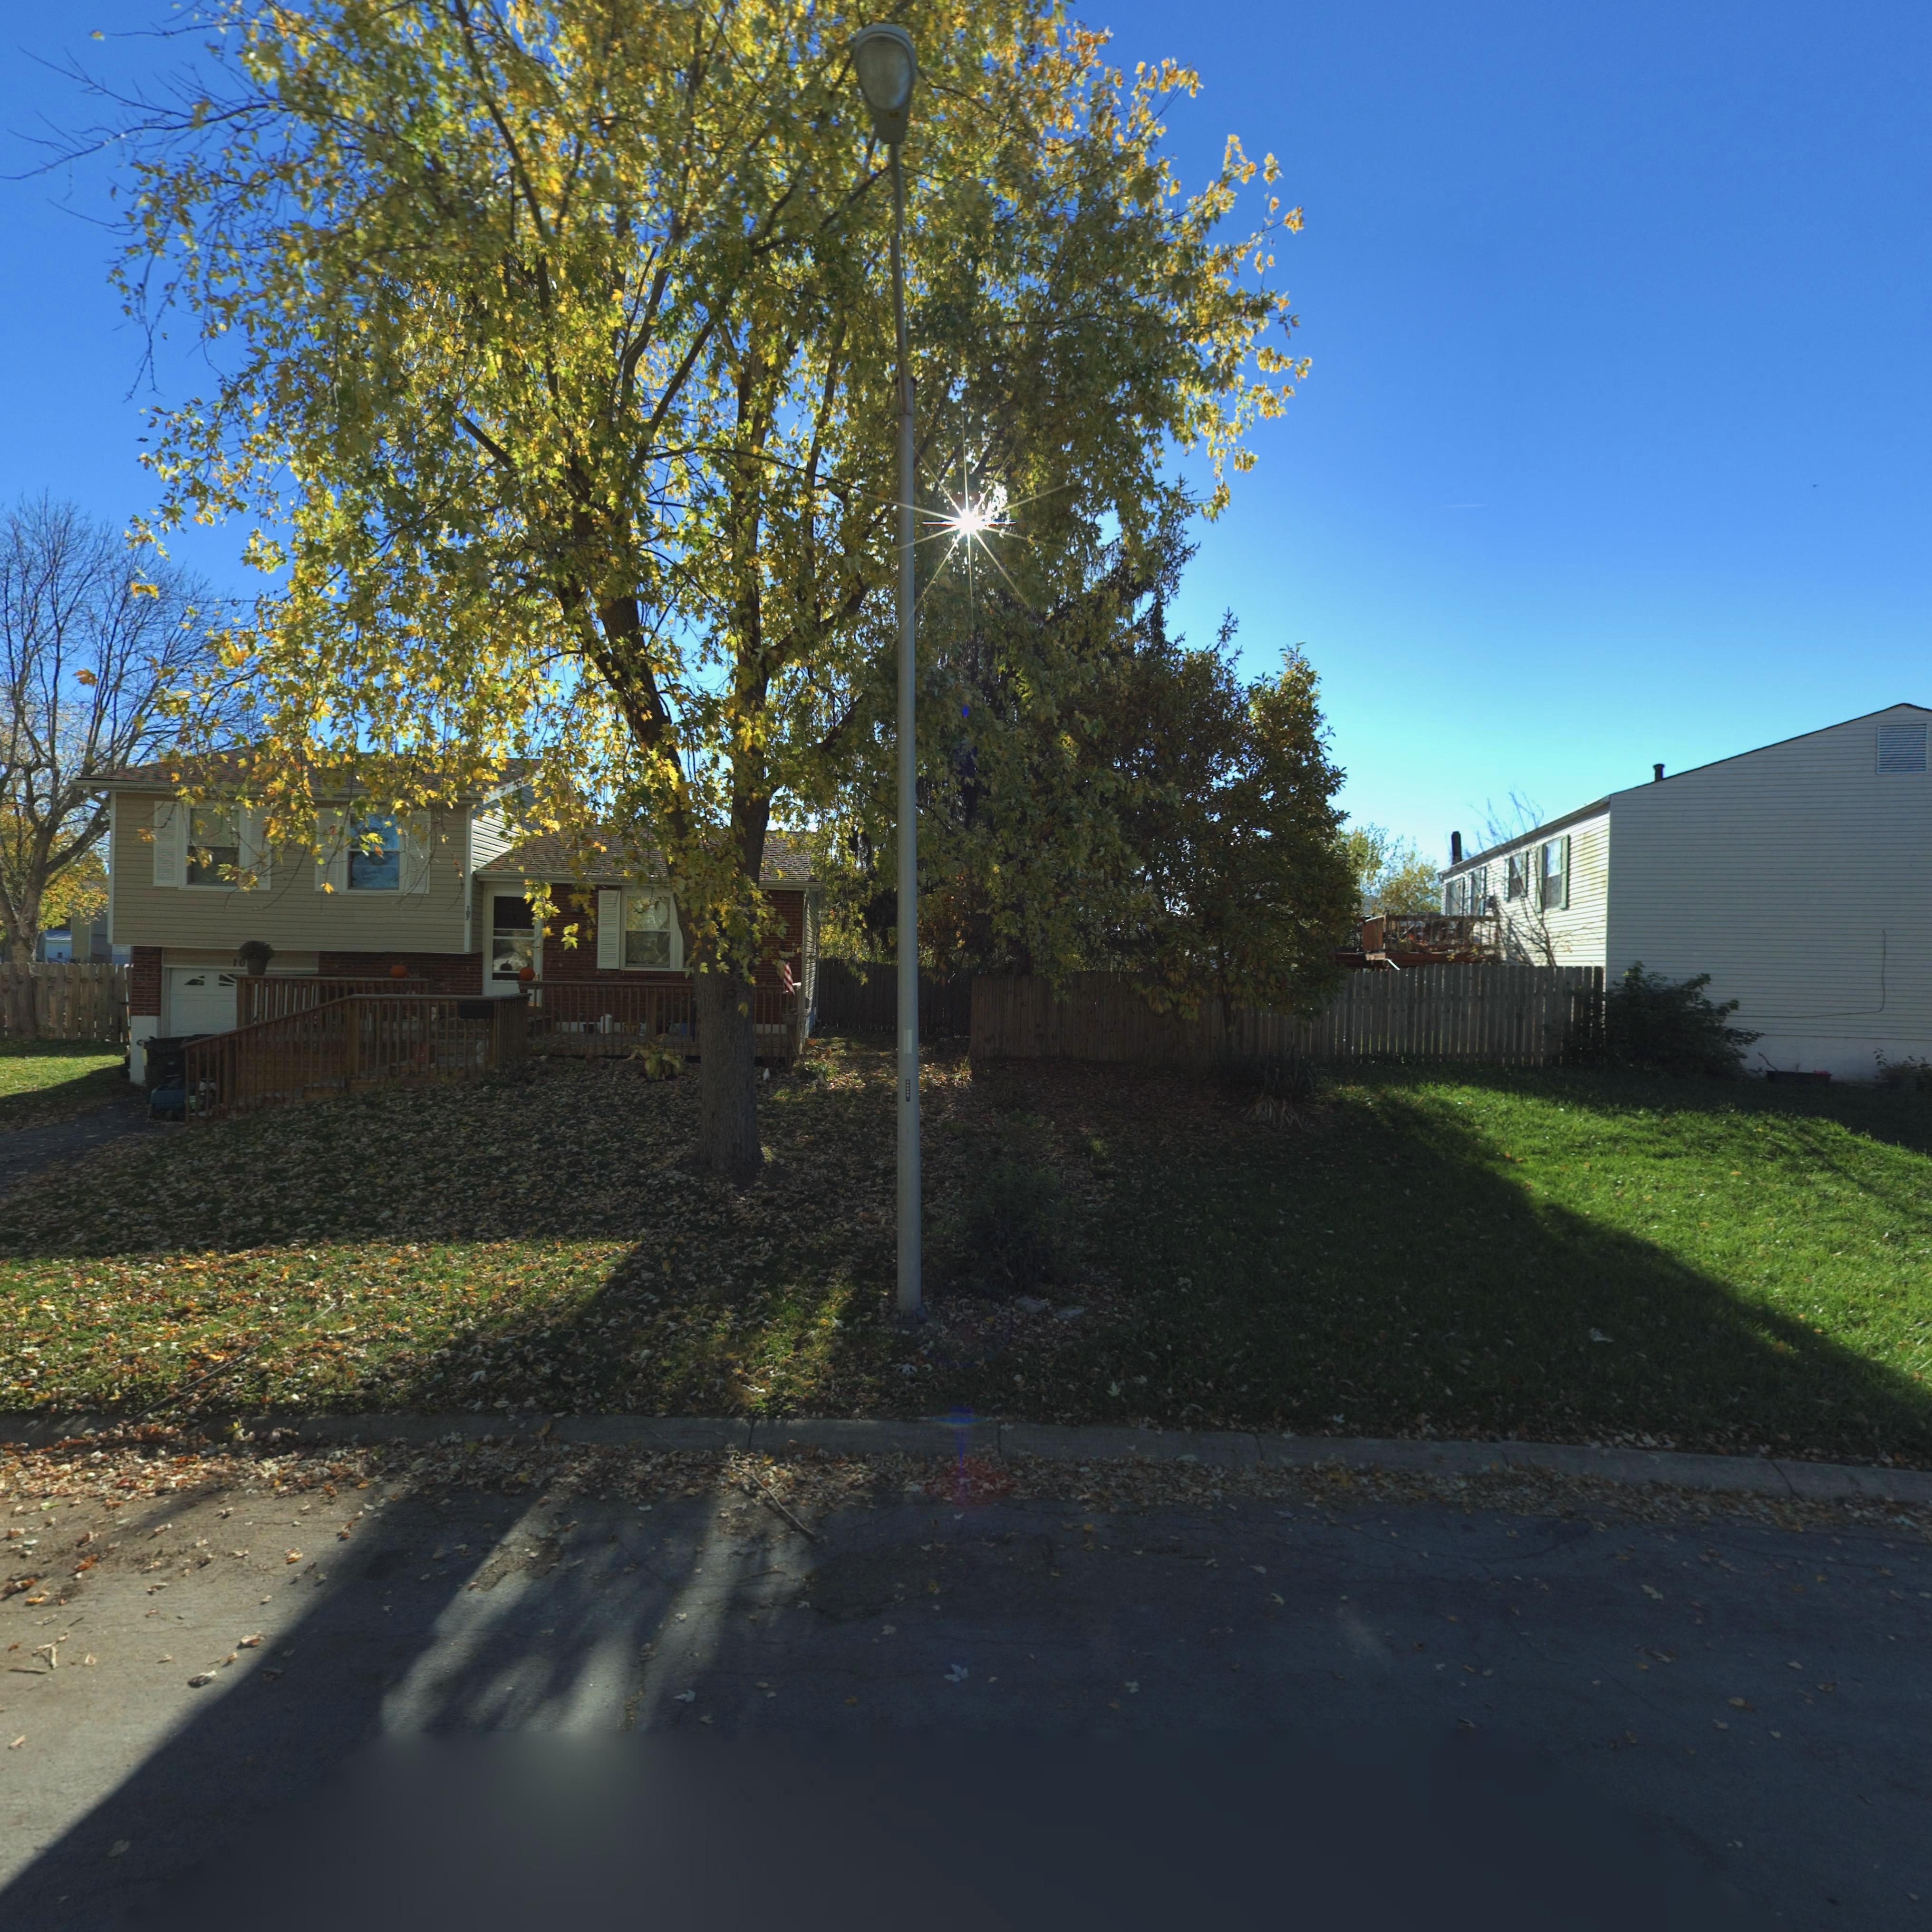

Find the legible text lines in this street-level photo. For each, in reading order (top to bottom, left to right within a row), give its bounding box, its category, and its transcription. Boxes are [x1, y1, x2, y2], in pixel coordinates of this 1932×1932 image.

[465, 905, 471, 921] StreetNumber: 107
[233, 958, 246, 967] StreetNumber: 10